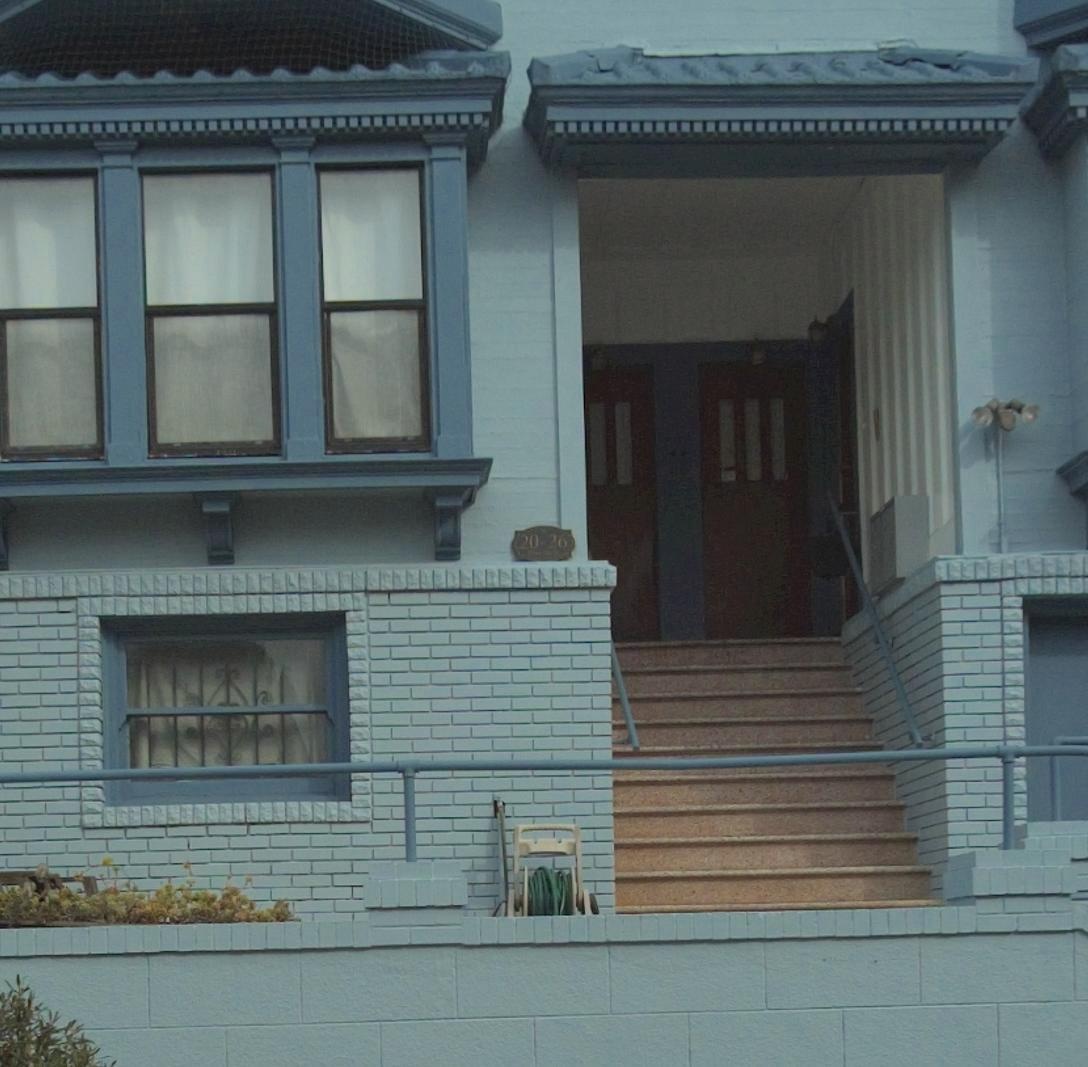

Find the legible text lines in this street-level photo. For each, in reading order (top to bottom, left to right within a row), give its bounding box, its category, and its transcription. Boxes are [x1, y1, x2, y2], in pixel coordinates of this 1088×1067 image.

[517, 533, 540, 551] StreetNumber: 20
[546, 532, 570, 550] StreetNumber: 26